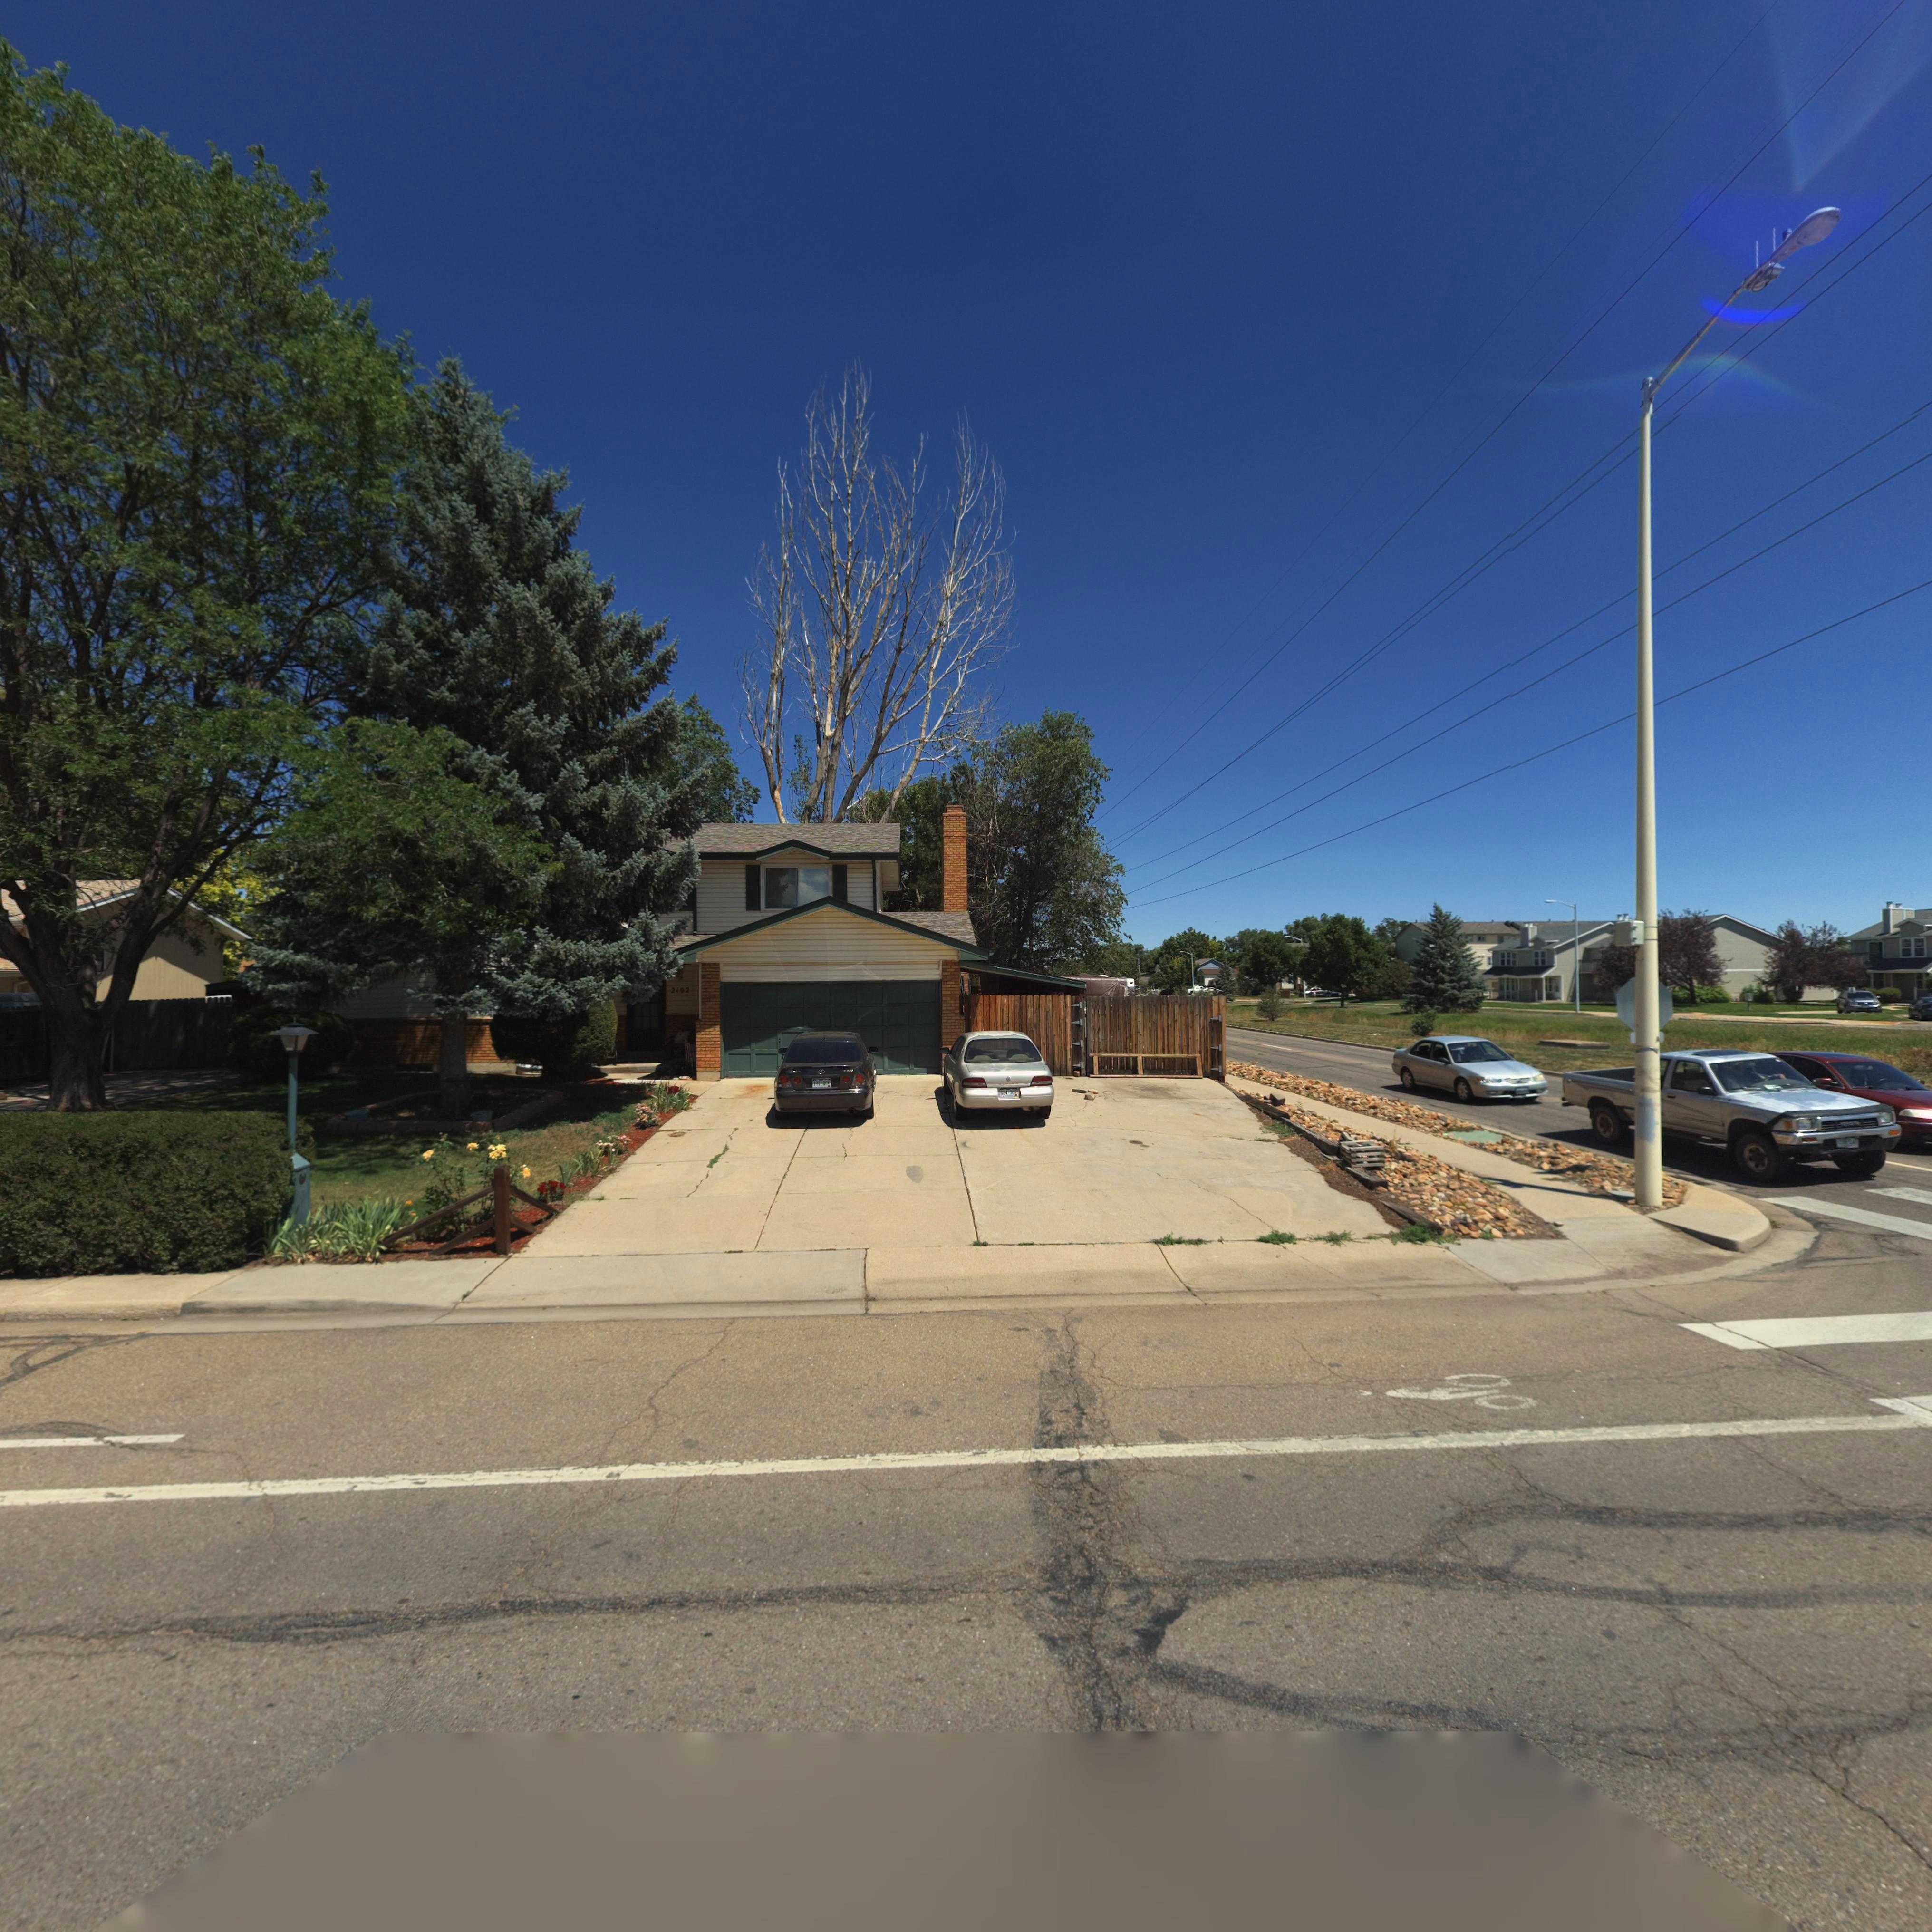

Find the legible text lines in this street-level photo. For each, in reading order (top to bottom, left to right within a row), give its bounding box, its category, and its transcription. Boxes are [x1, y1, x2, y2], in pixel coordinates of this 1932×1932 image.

[670, 986, 689, 994] StreetNumber: 2102